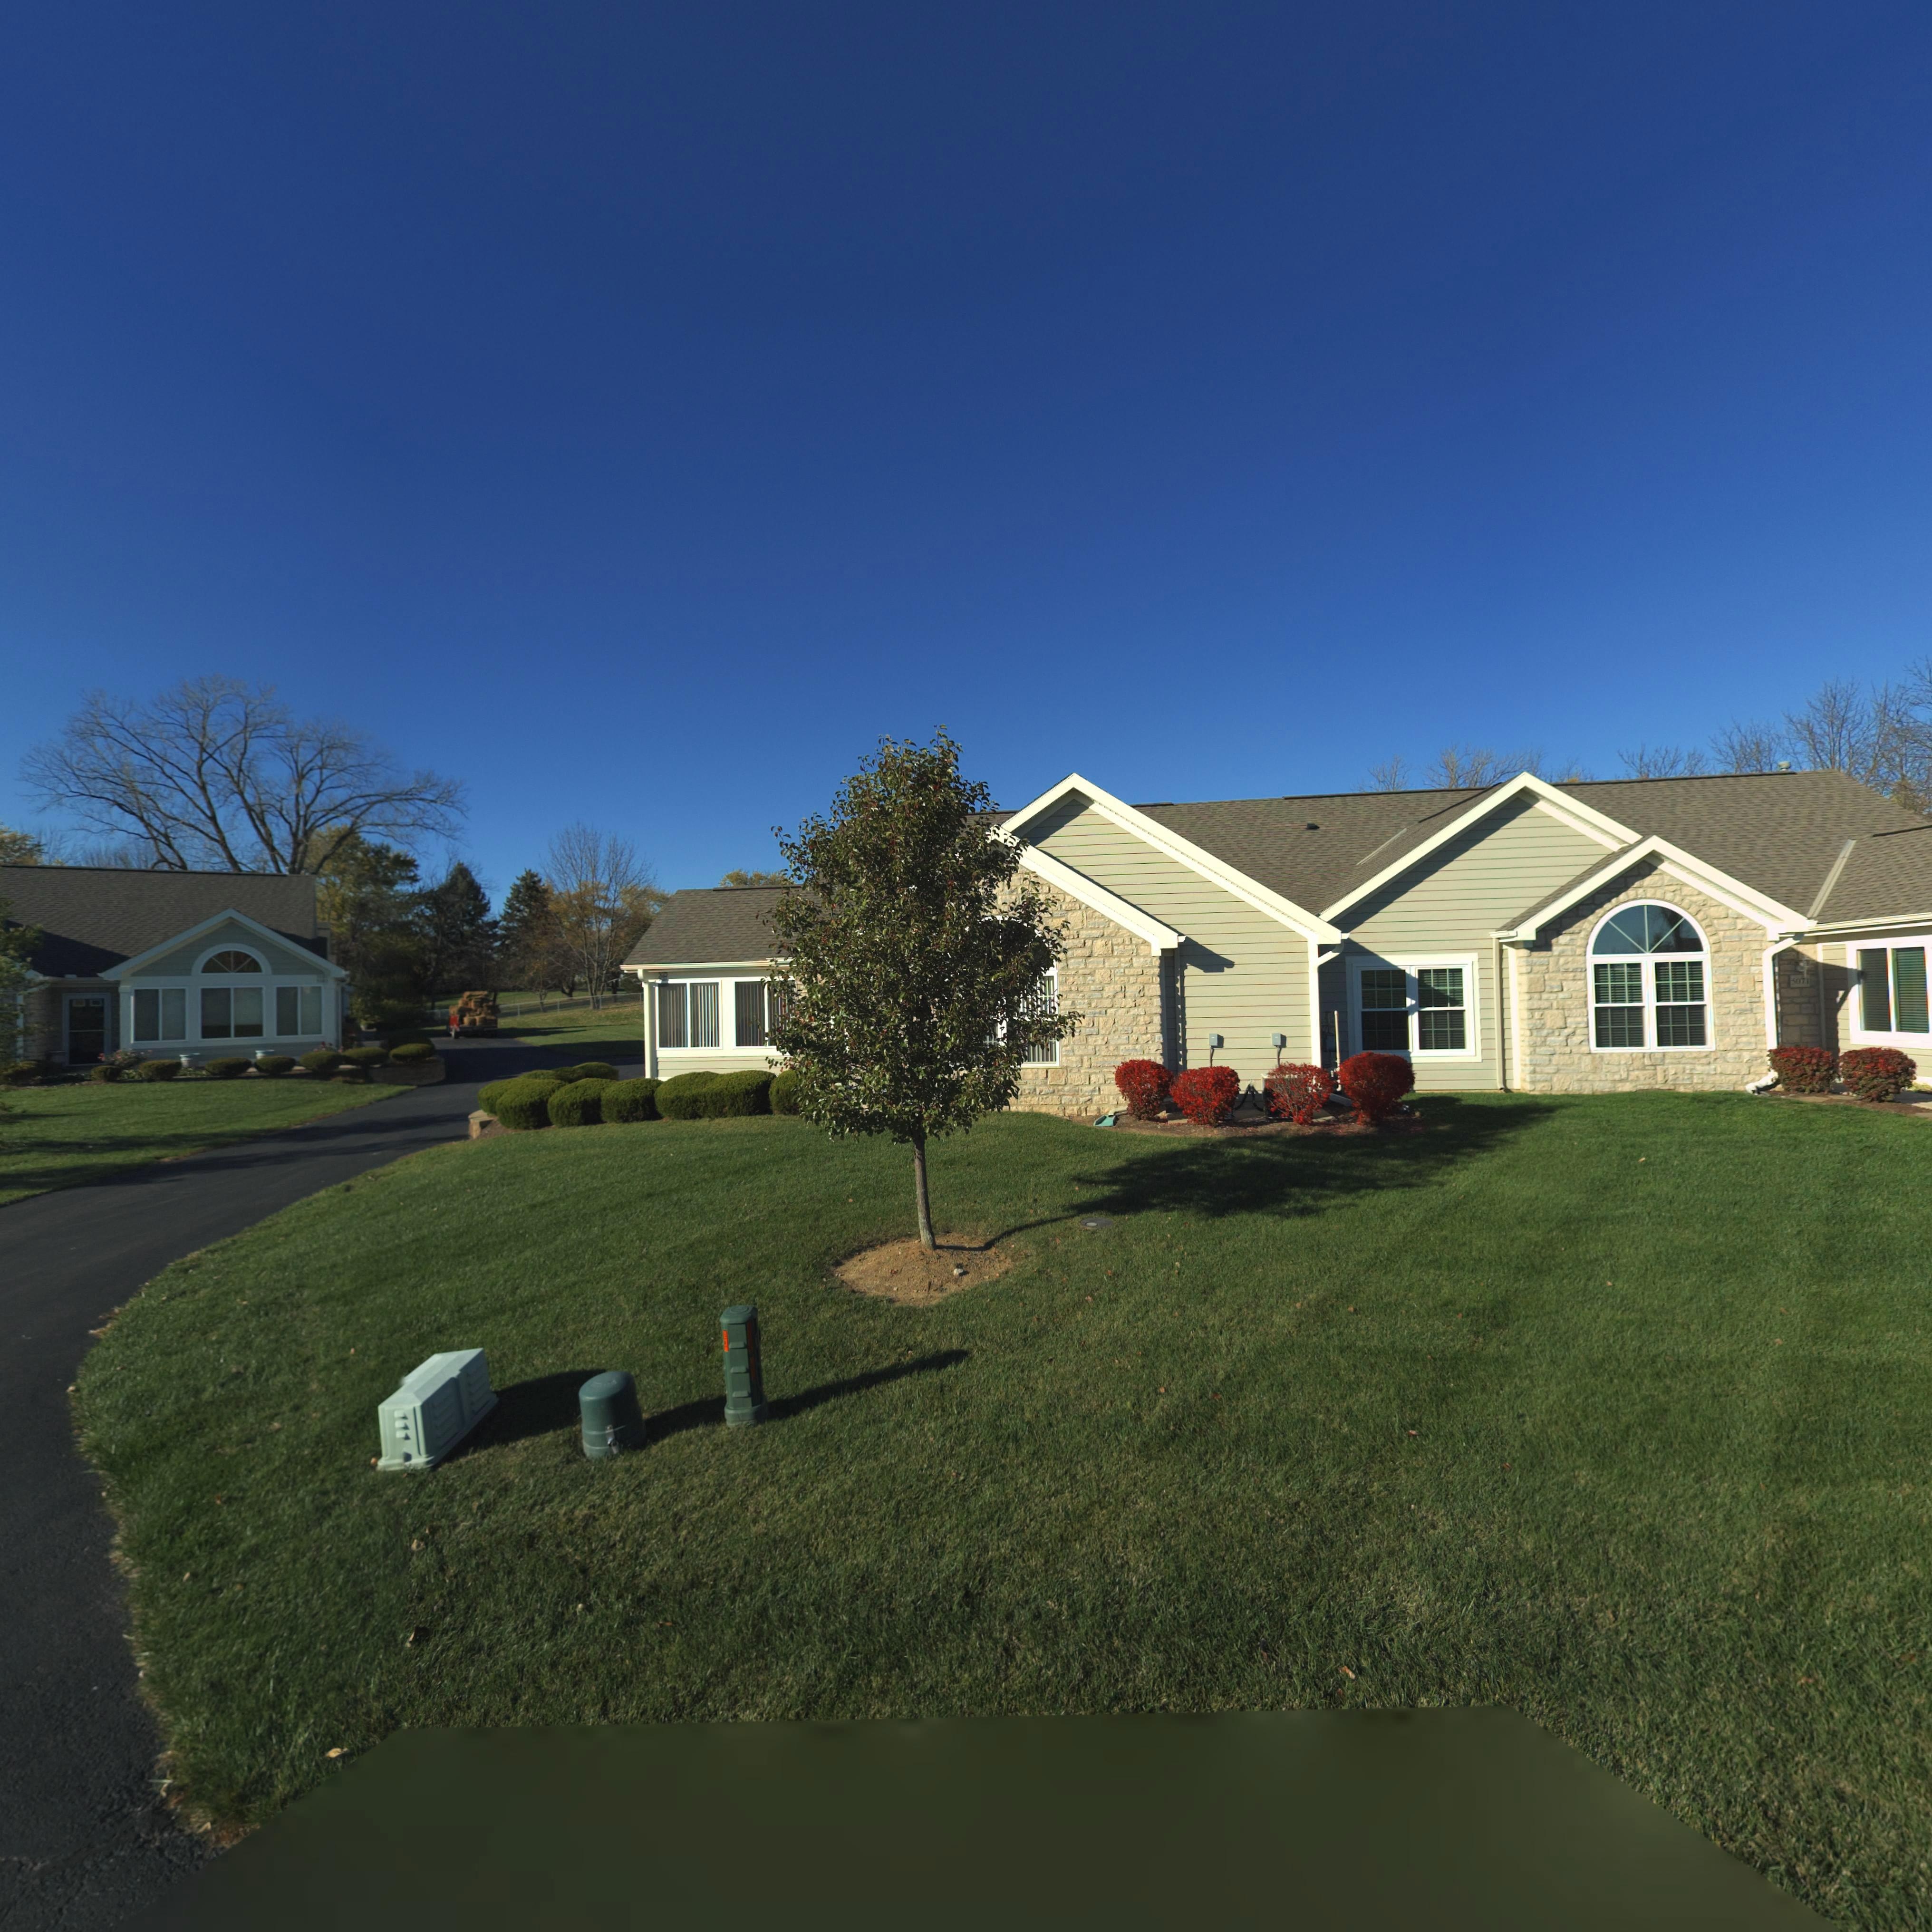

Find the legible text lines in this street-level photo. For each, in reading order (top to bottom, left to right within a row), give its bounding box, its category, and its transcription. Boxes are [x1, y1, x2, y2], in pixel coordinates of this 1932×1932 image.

[1791, 976, 1810, 986] StreetNumber: 5071